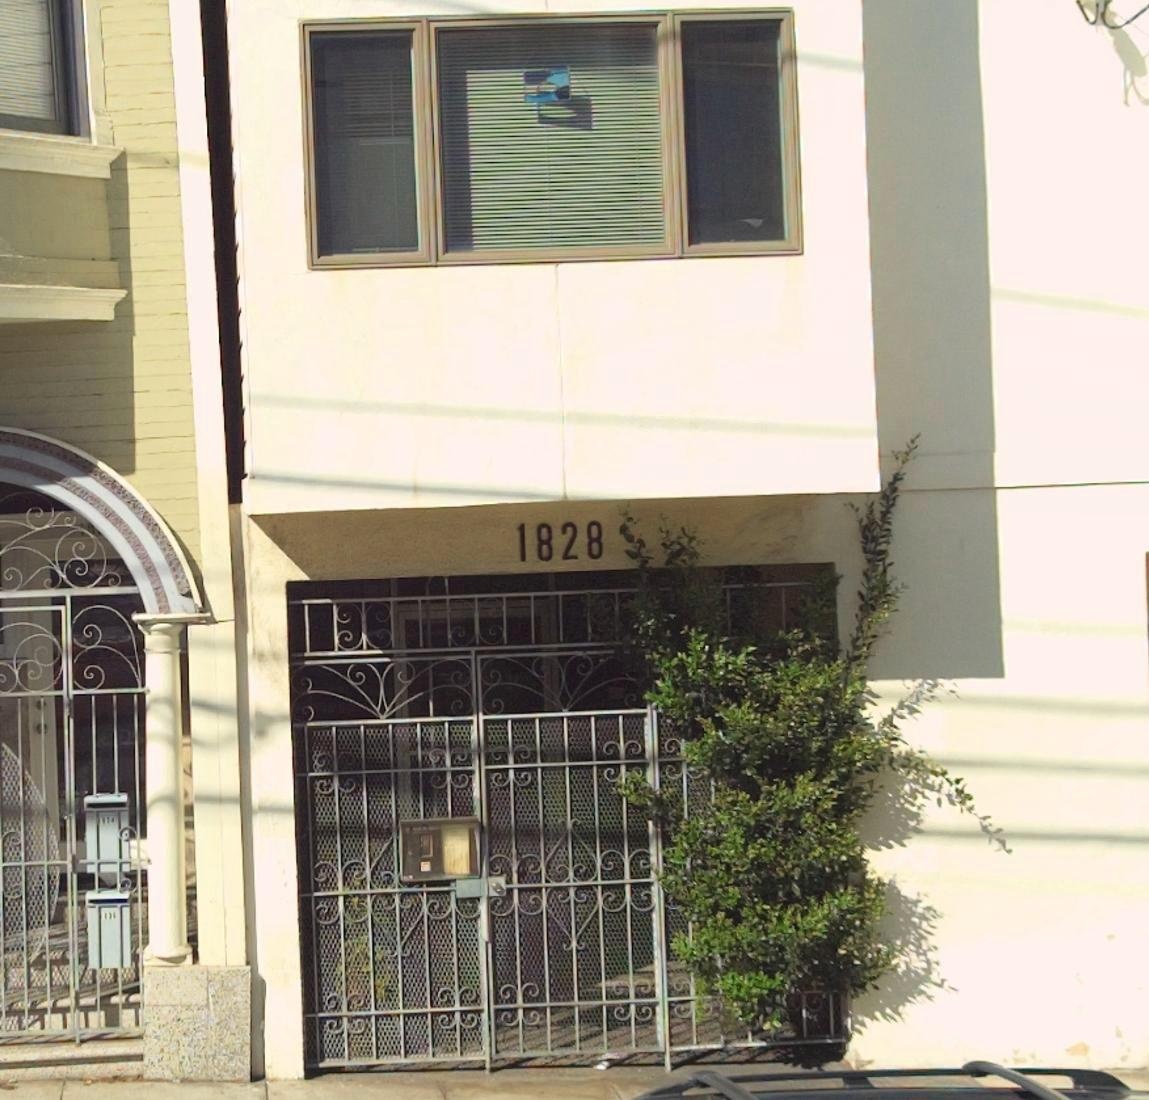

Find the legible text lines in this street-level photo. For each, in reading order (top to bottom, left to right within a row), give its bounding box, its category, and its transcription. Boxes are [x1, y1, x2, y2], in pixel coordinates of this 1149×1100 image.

[514, 518, 606, 564] StreetNumber: 1828